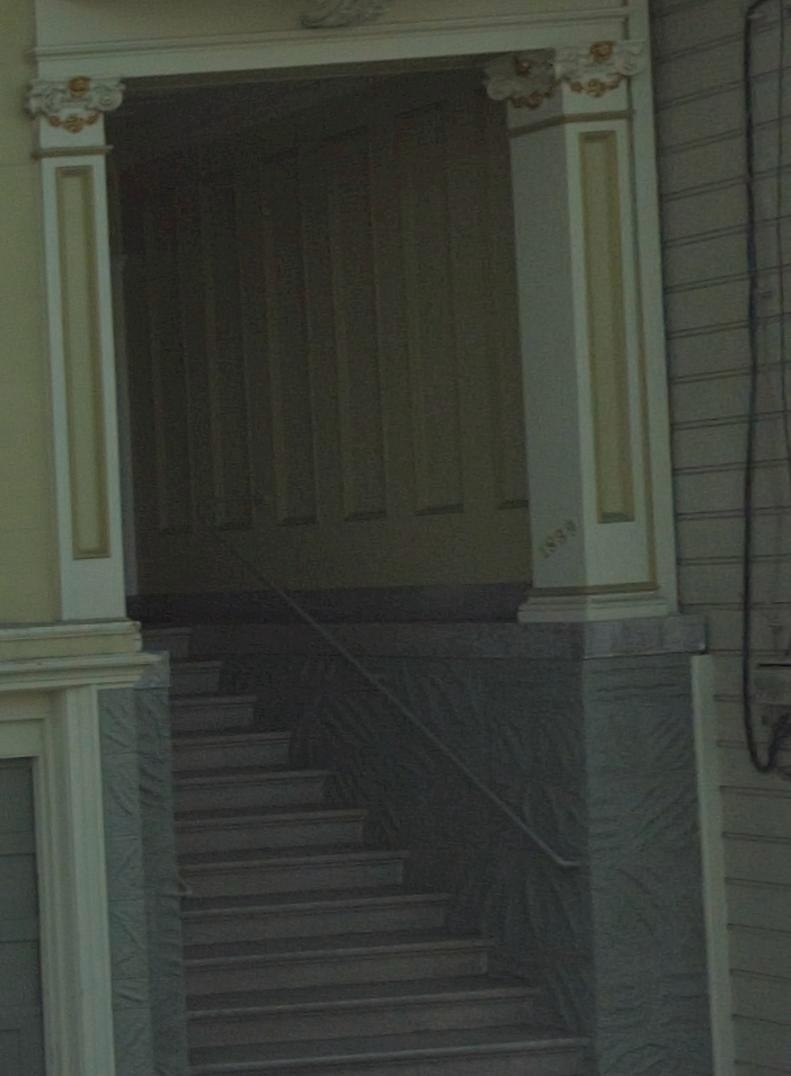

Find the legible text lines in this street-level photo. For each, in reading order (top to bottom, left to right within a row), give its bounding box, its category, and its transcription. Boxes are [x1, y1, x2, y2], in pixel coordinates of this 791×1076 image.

[533, 513, 581, 565] StreetNumber: 1839